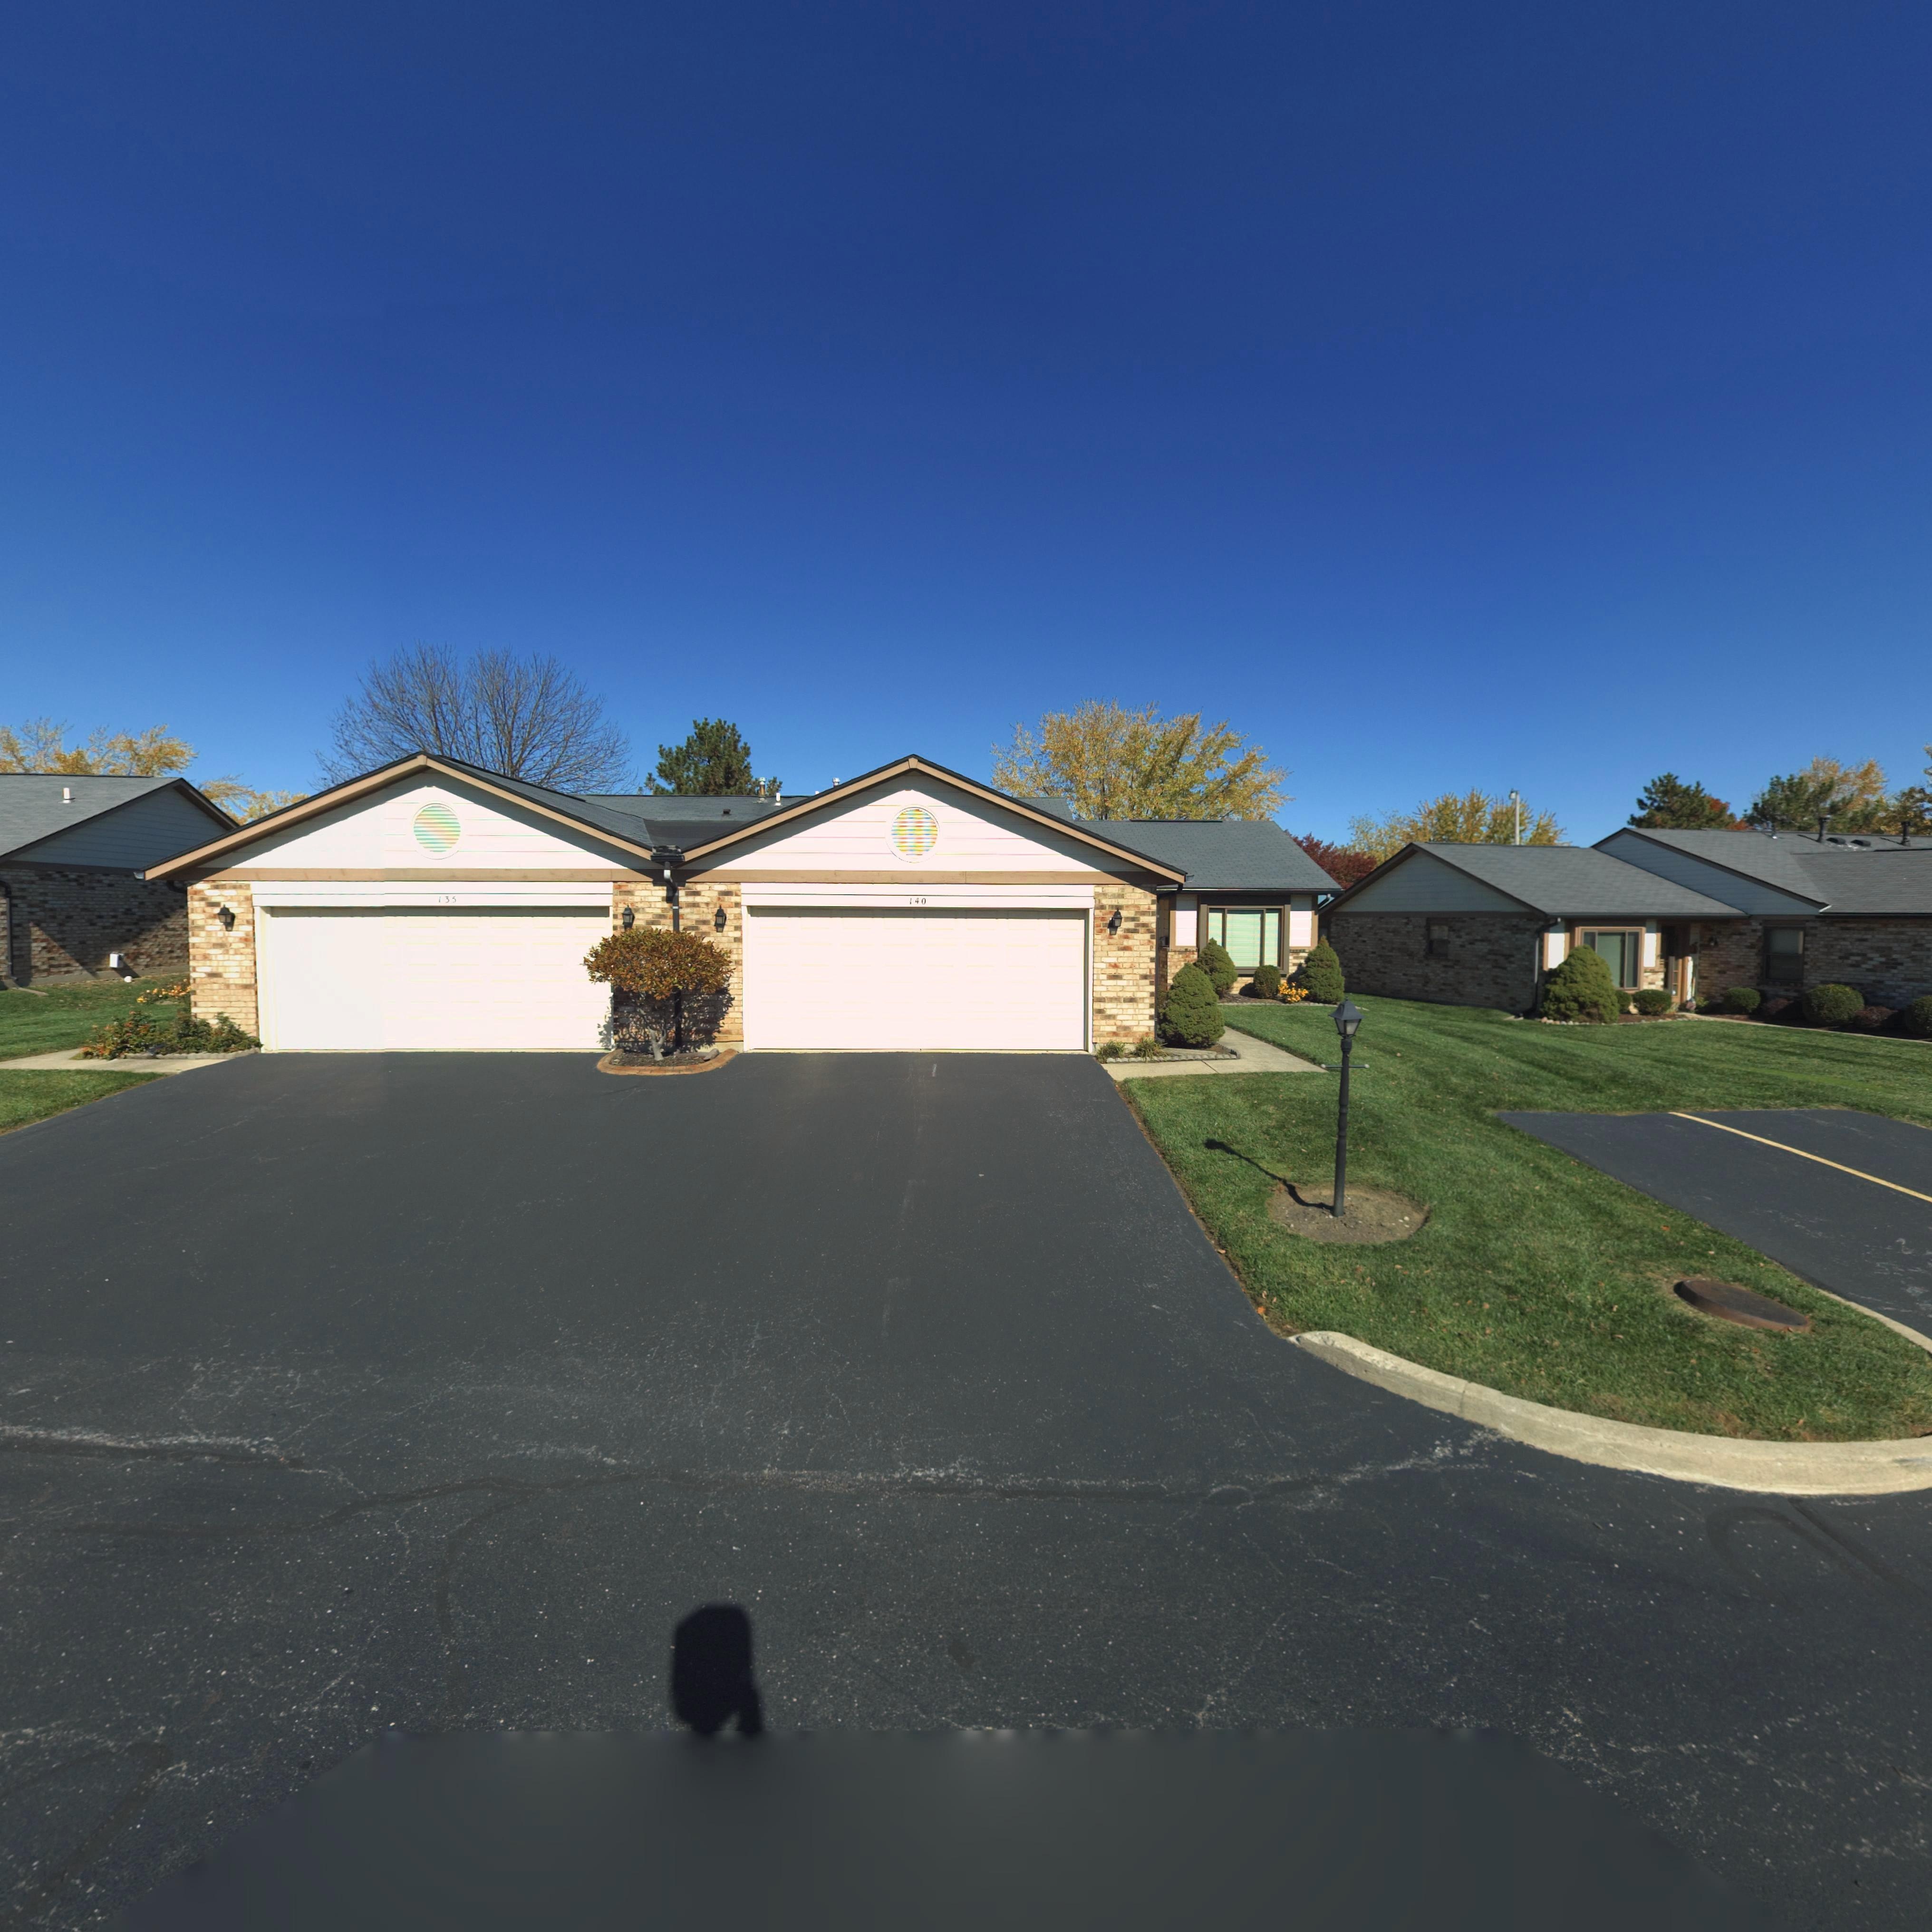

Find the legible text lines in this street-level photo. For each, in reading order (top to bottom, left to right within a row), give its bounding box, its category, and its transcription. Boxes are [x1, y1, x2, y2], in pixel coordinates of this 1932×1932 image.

[438, 895, 457, 904] StreetNumber: 135
[908, 897, 927, 906] StreetNumber: 140